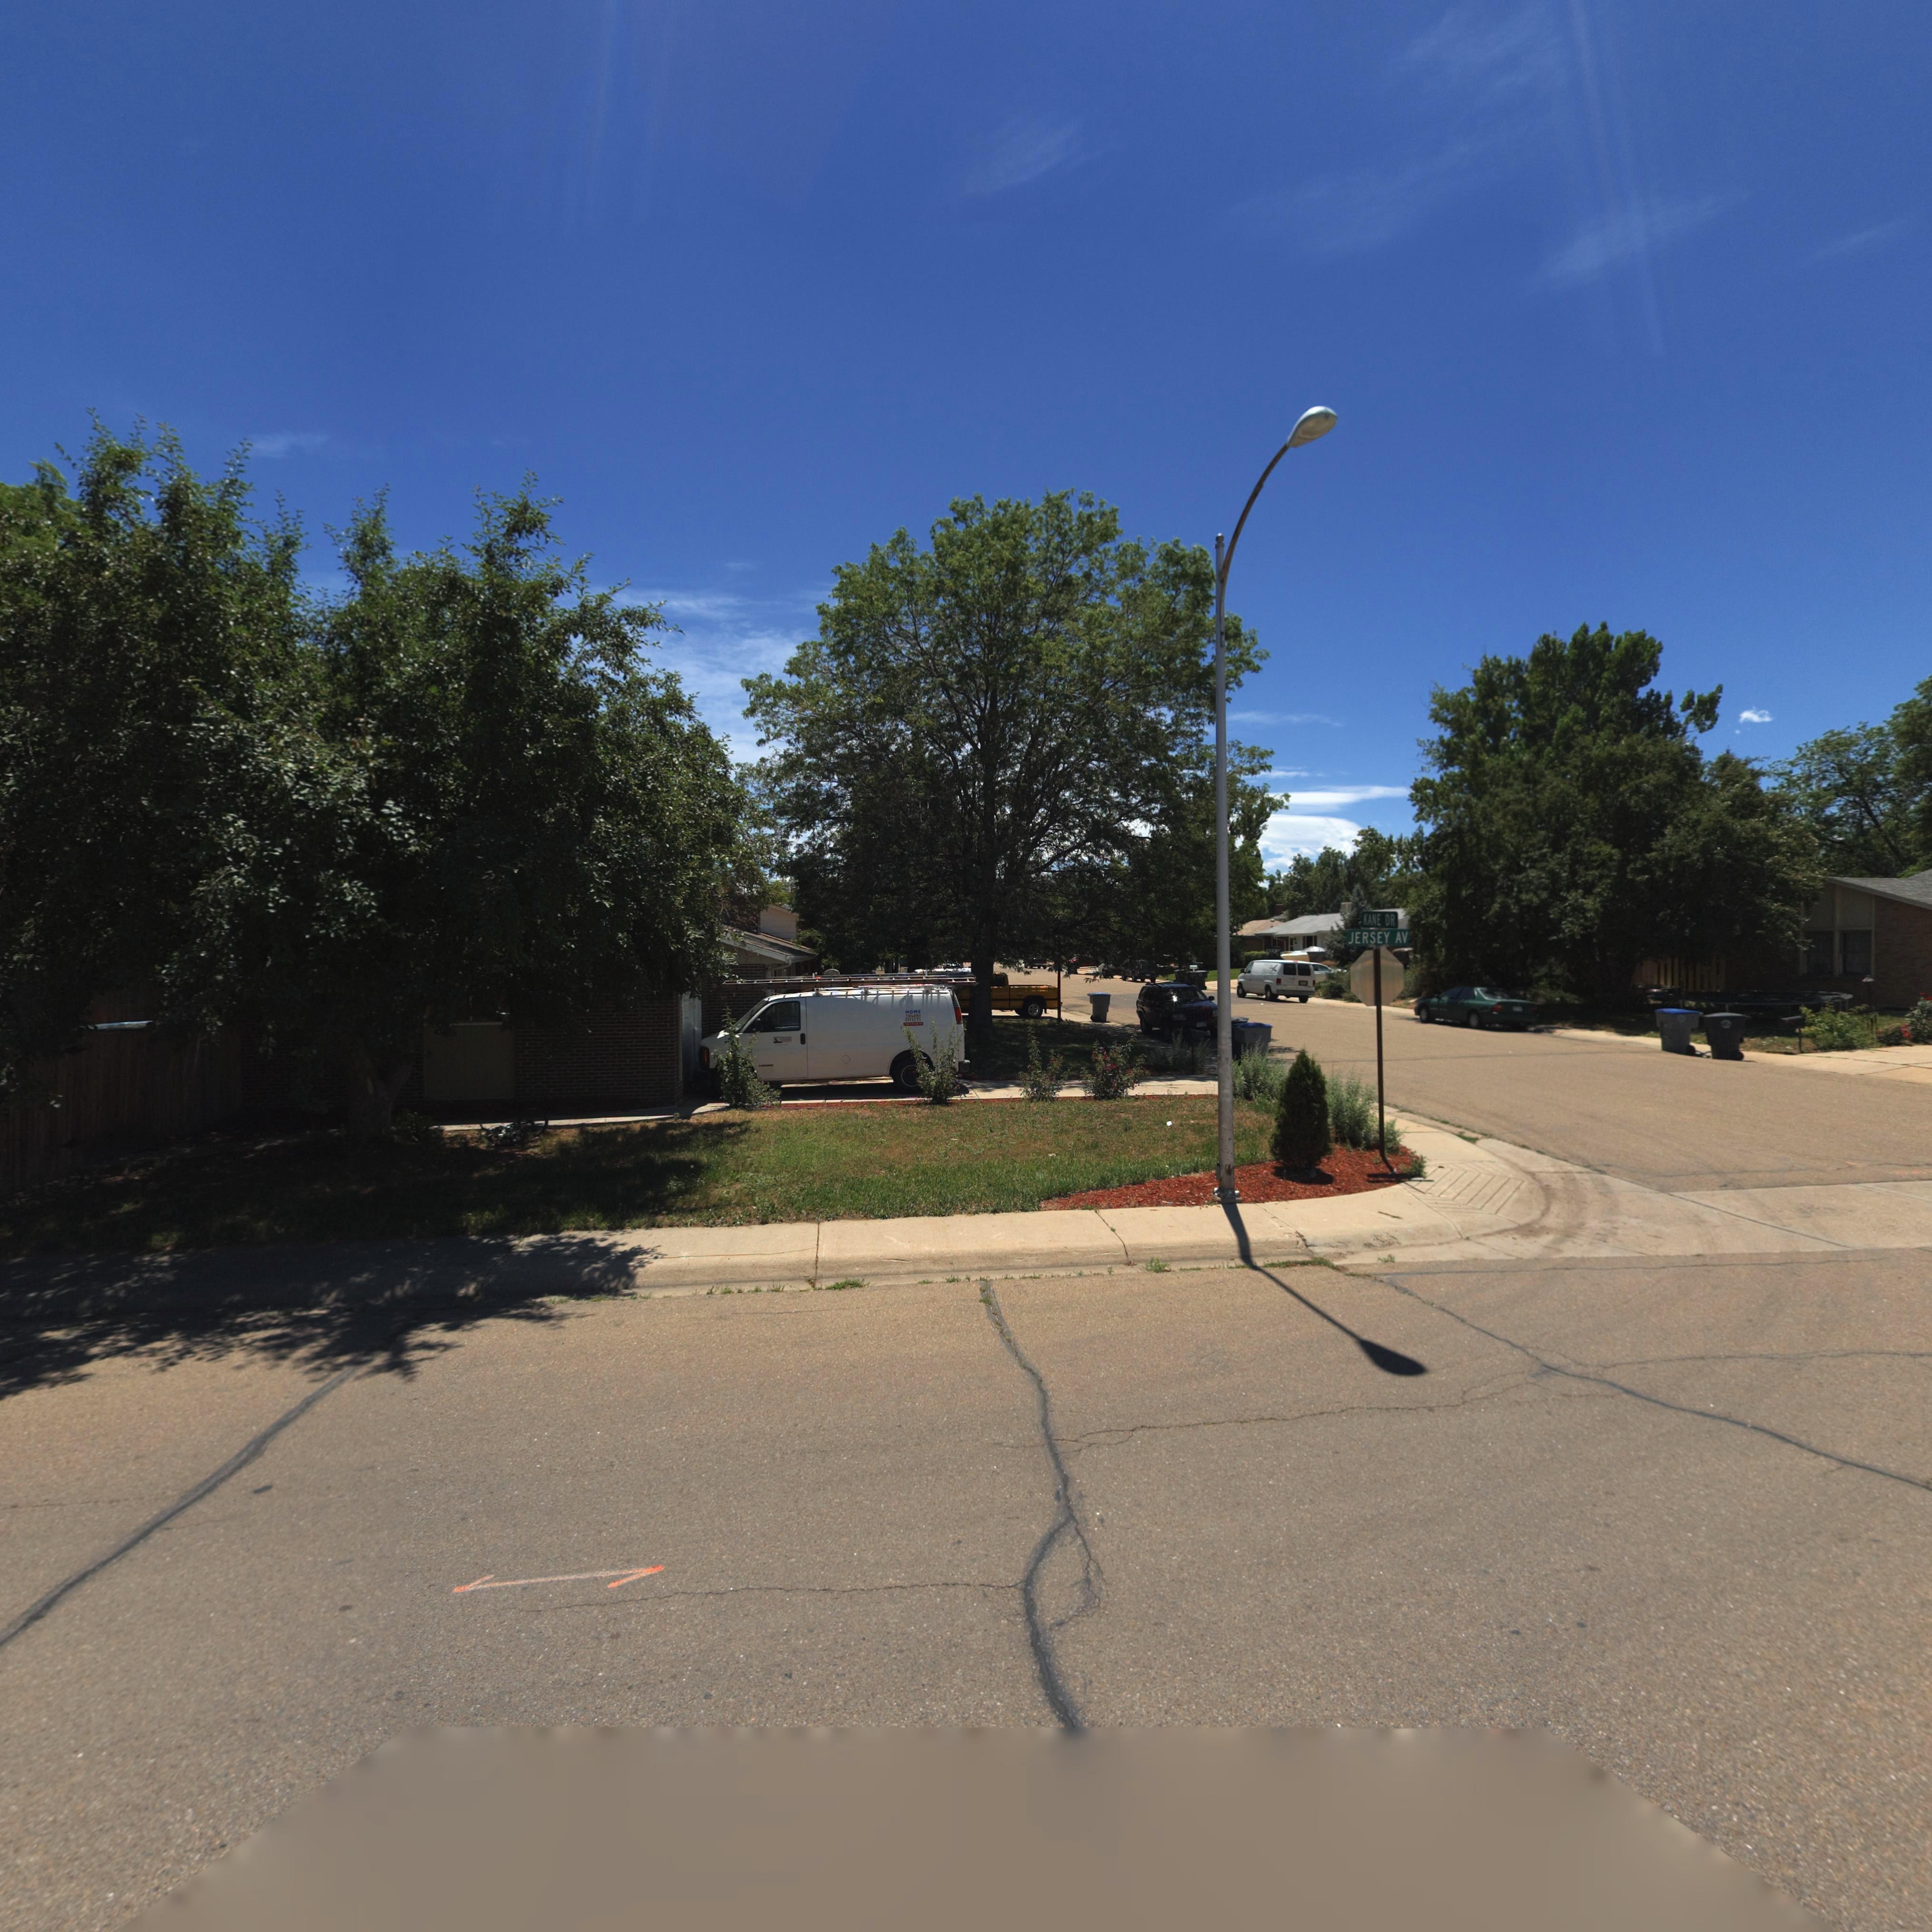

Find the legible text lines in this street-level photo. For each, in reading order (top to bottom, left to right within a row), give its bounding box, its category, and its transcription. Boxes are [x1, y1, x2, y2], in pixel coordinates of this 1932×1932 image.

[1363, 913, 1395, 927] StreetName: KANE DR
[1347, 931, 1409, 944] StreetName: JERSEY AV